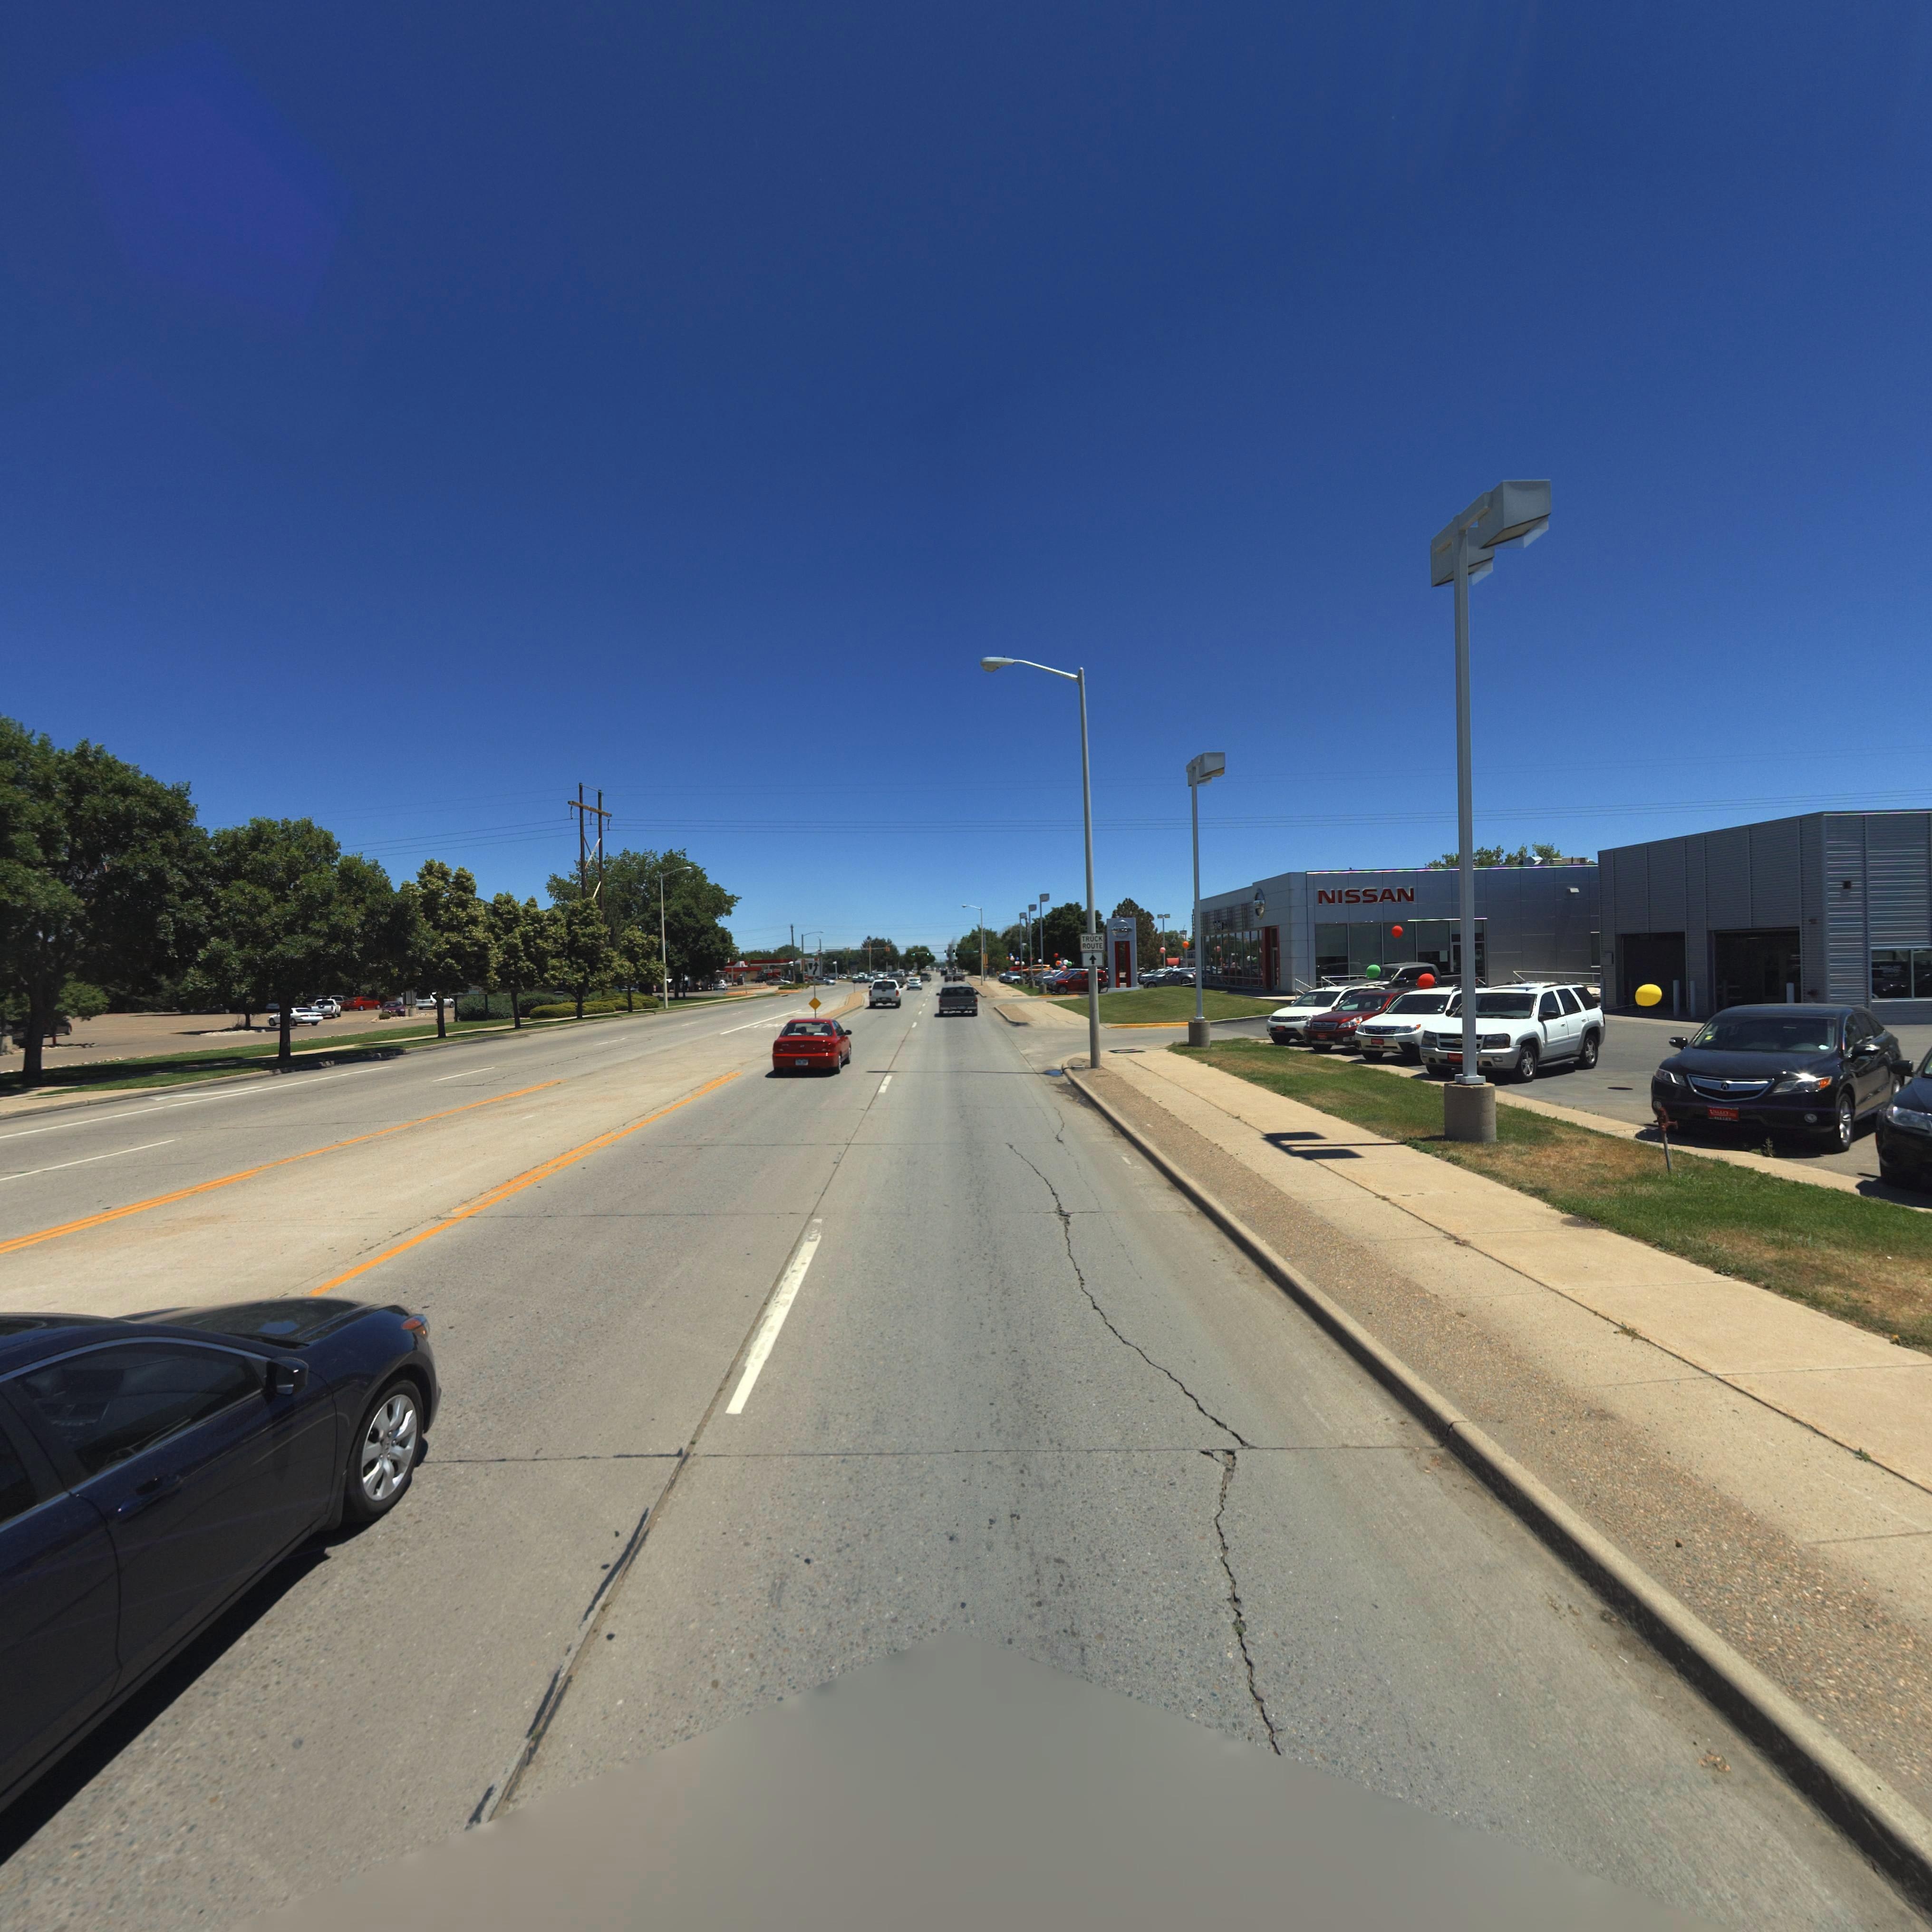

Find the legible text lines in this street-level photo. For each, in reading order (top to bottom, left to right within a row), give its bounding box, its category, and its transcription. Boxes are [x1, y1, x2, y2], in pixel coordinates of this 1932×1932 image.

[1317, 887, 1414, 905] BusinessName: NISSAN